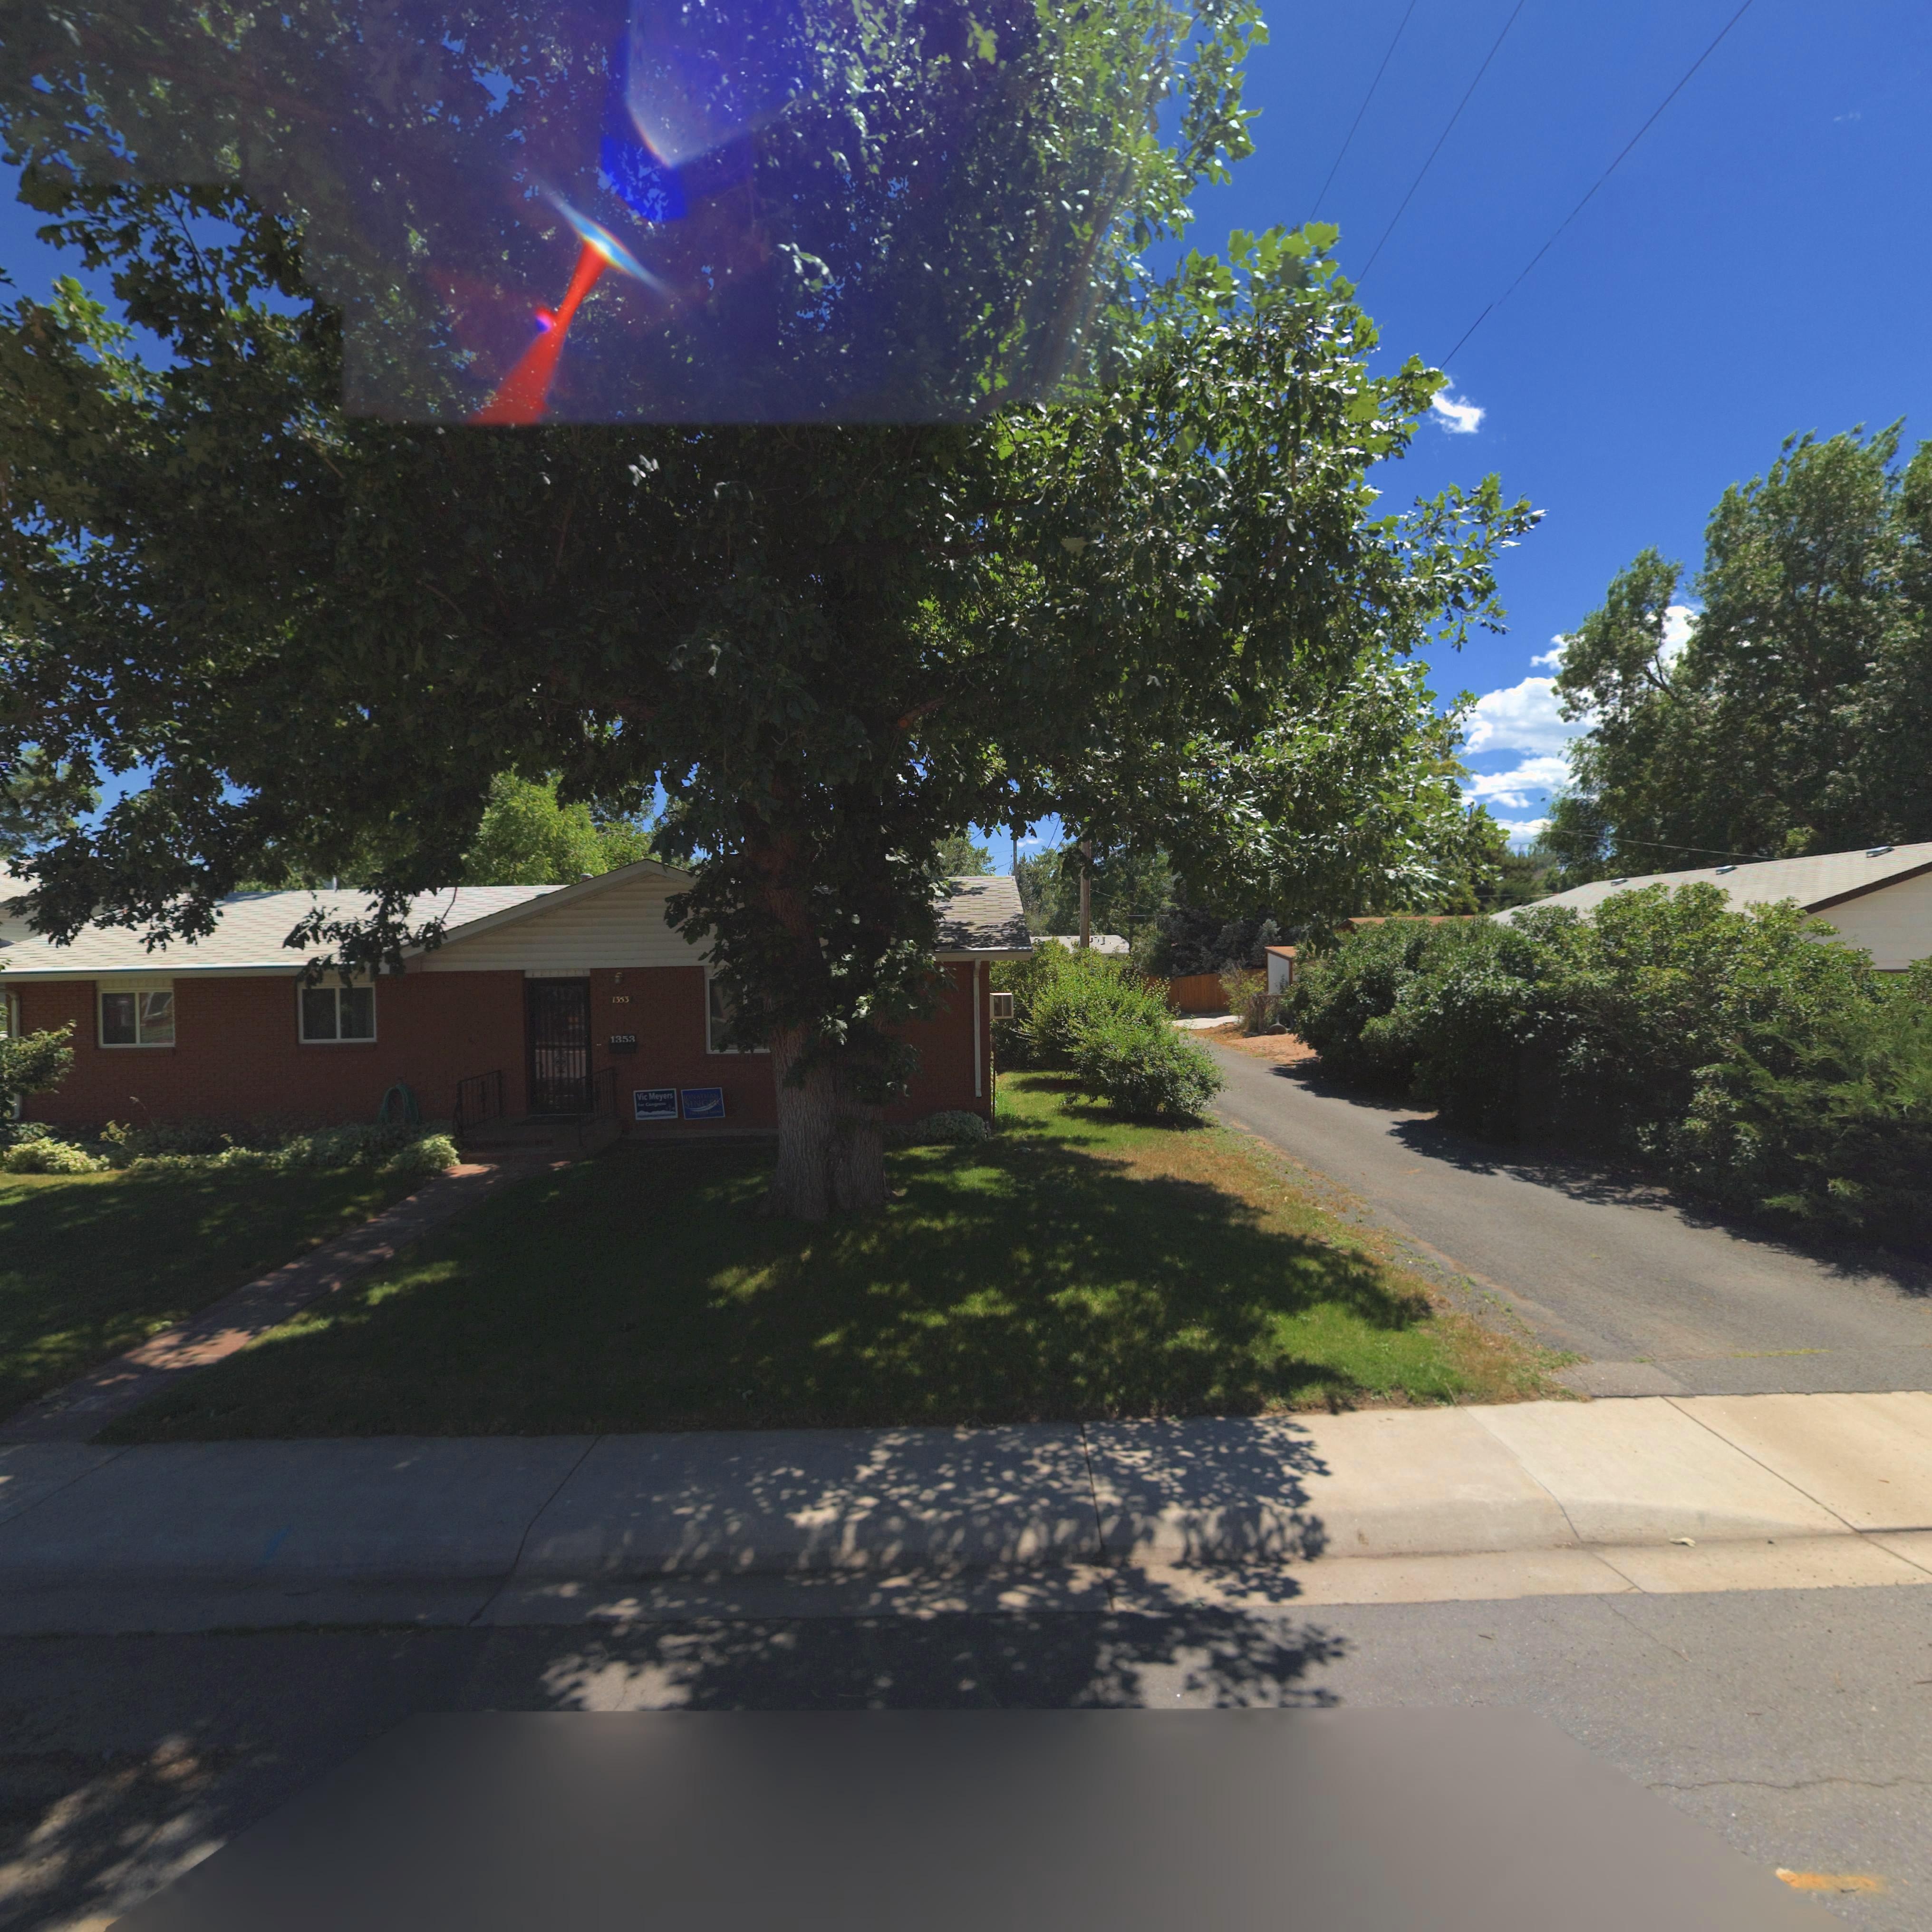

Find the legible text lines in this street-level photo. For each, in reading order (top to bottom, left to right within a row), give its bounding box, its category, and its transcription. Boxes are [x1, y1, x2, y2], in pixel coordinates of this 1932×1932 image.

[611, 995, 629, 1004] StreetNumber: 1353
[609, 1034, 635, 1044] StreetNumber: 1353